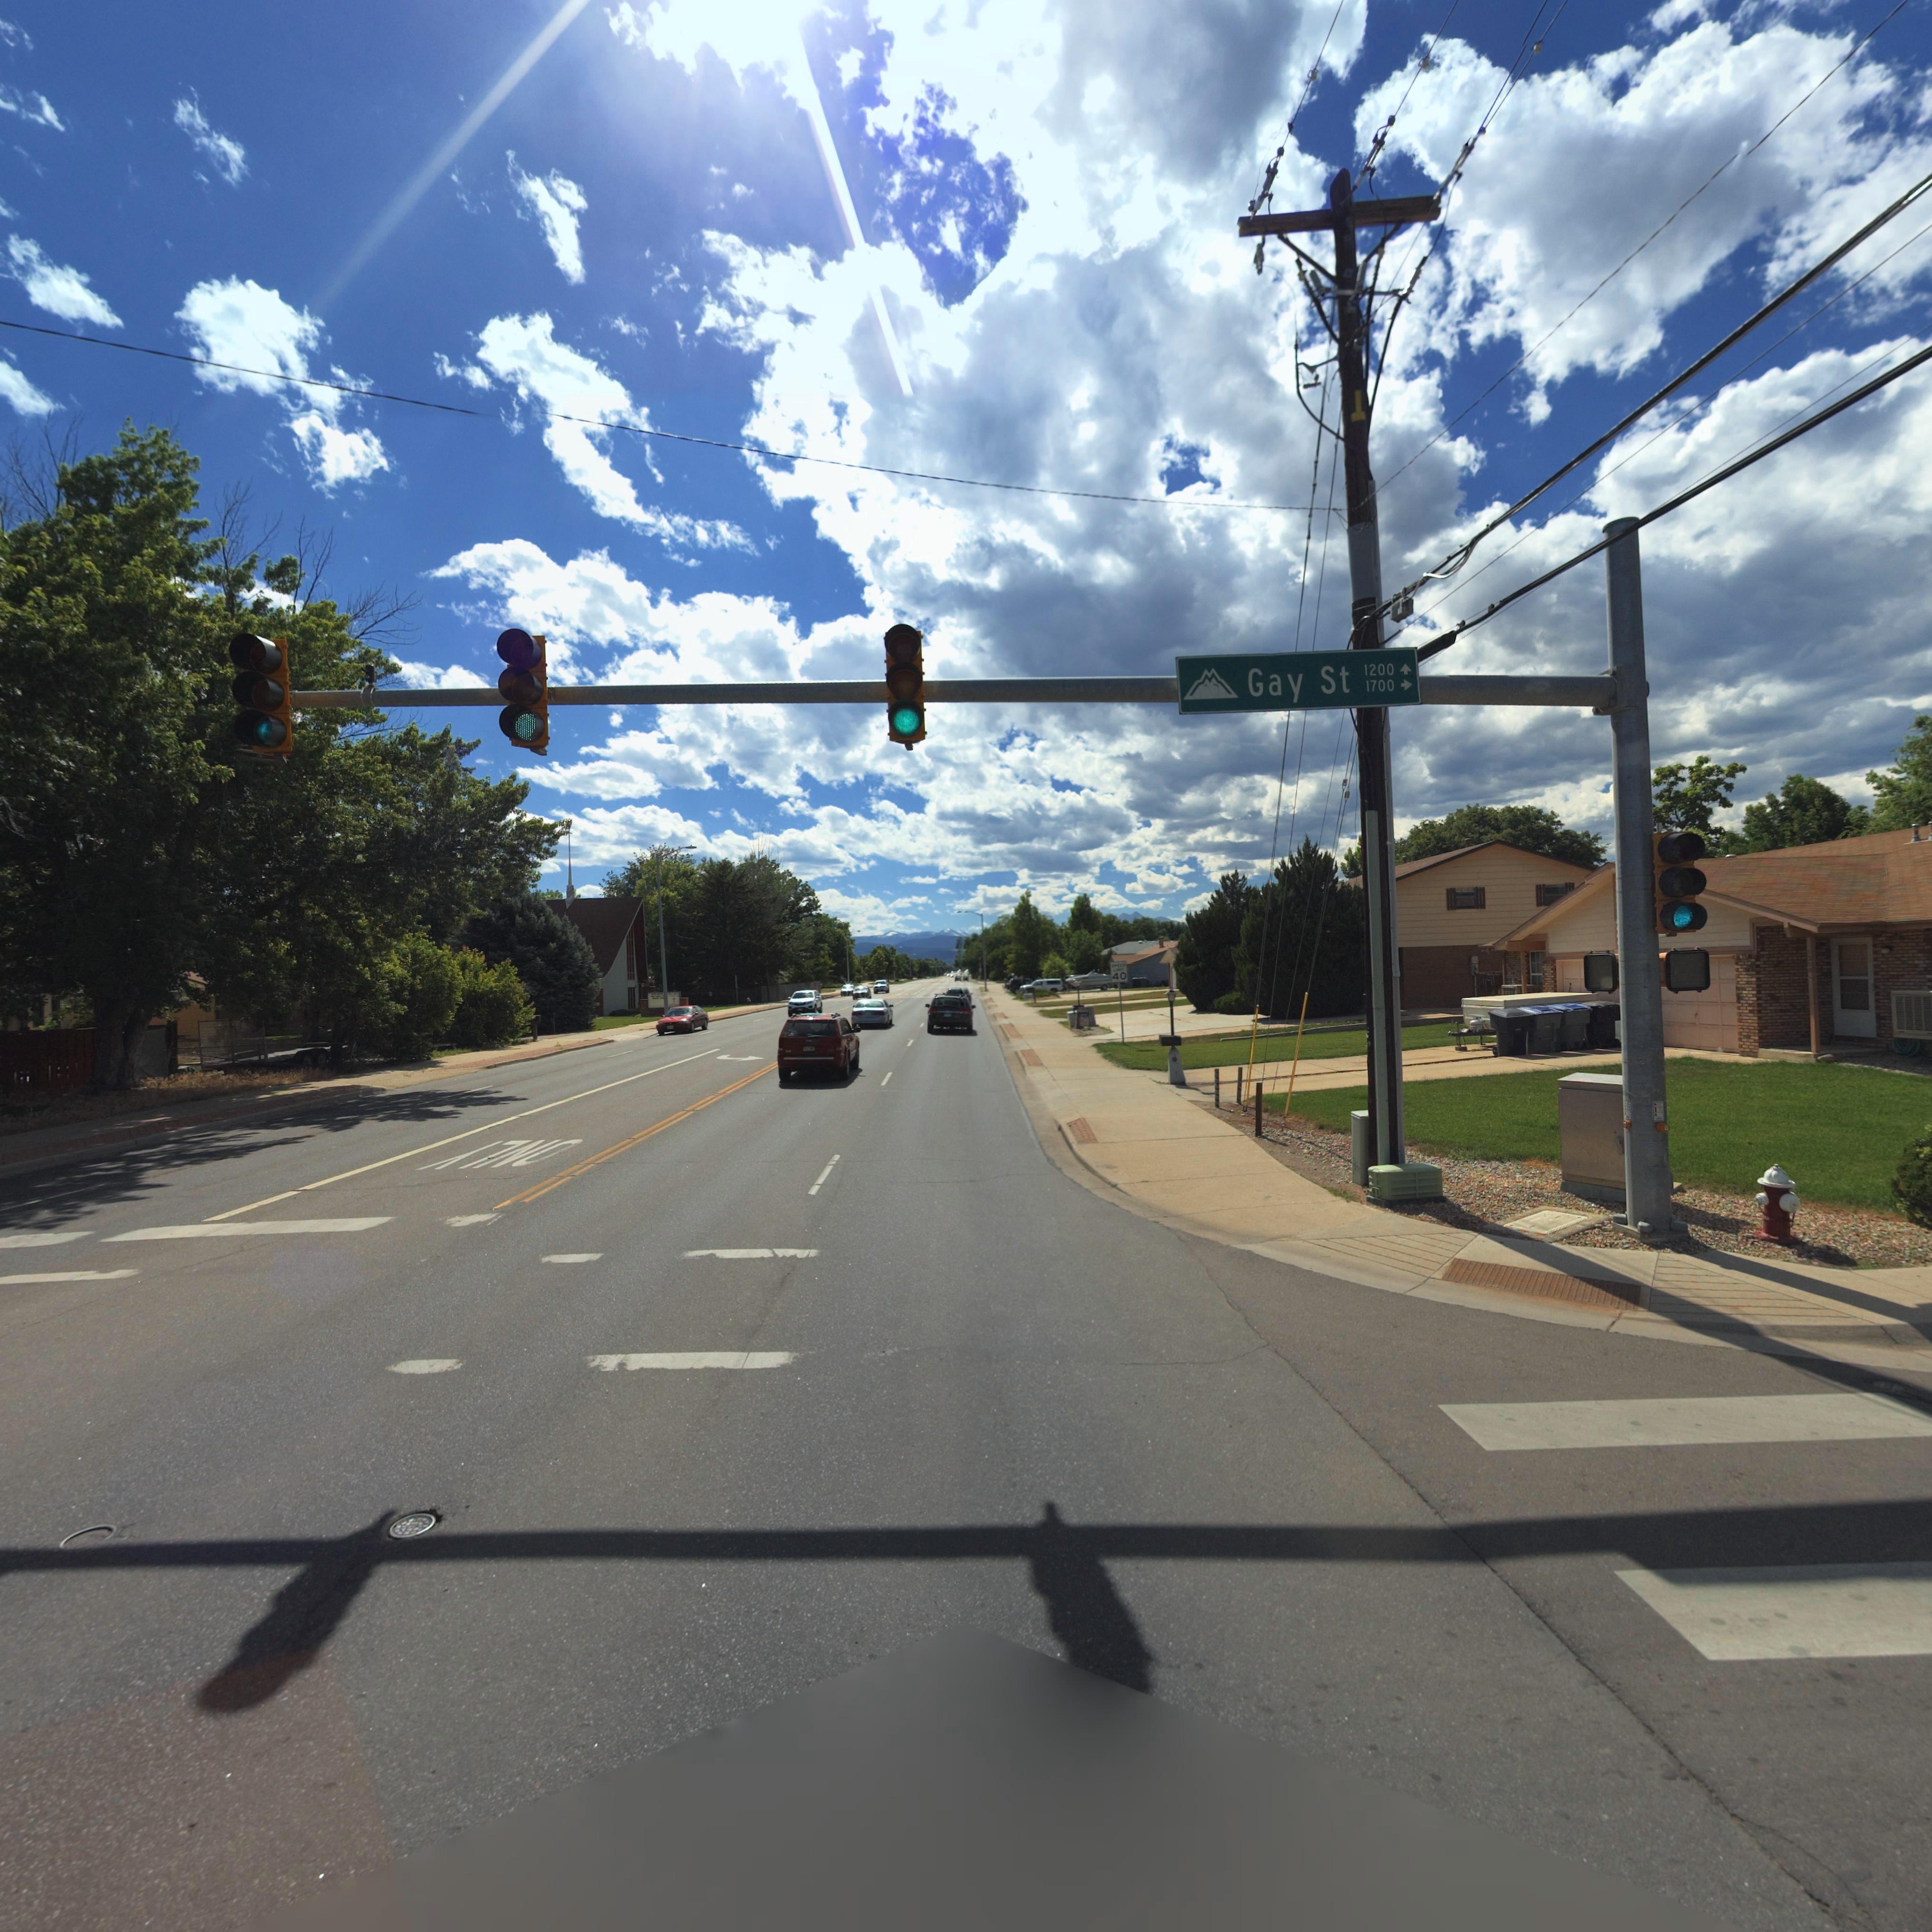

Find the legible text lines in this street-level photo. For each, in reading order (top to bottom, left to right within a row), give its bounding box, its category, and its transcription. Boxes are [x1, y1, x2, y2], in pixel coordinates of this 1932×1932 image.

[1363, 663, 1394, 676] StreetNumberRange: 1200
[1247, 665, 1350, 703] StreetName: Gay St
[1365, 678, 1412, 692] StreetNumberRange: 1700 ->